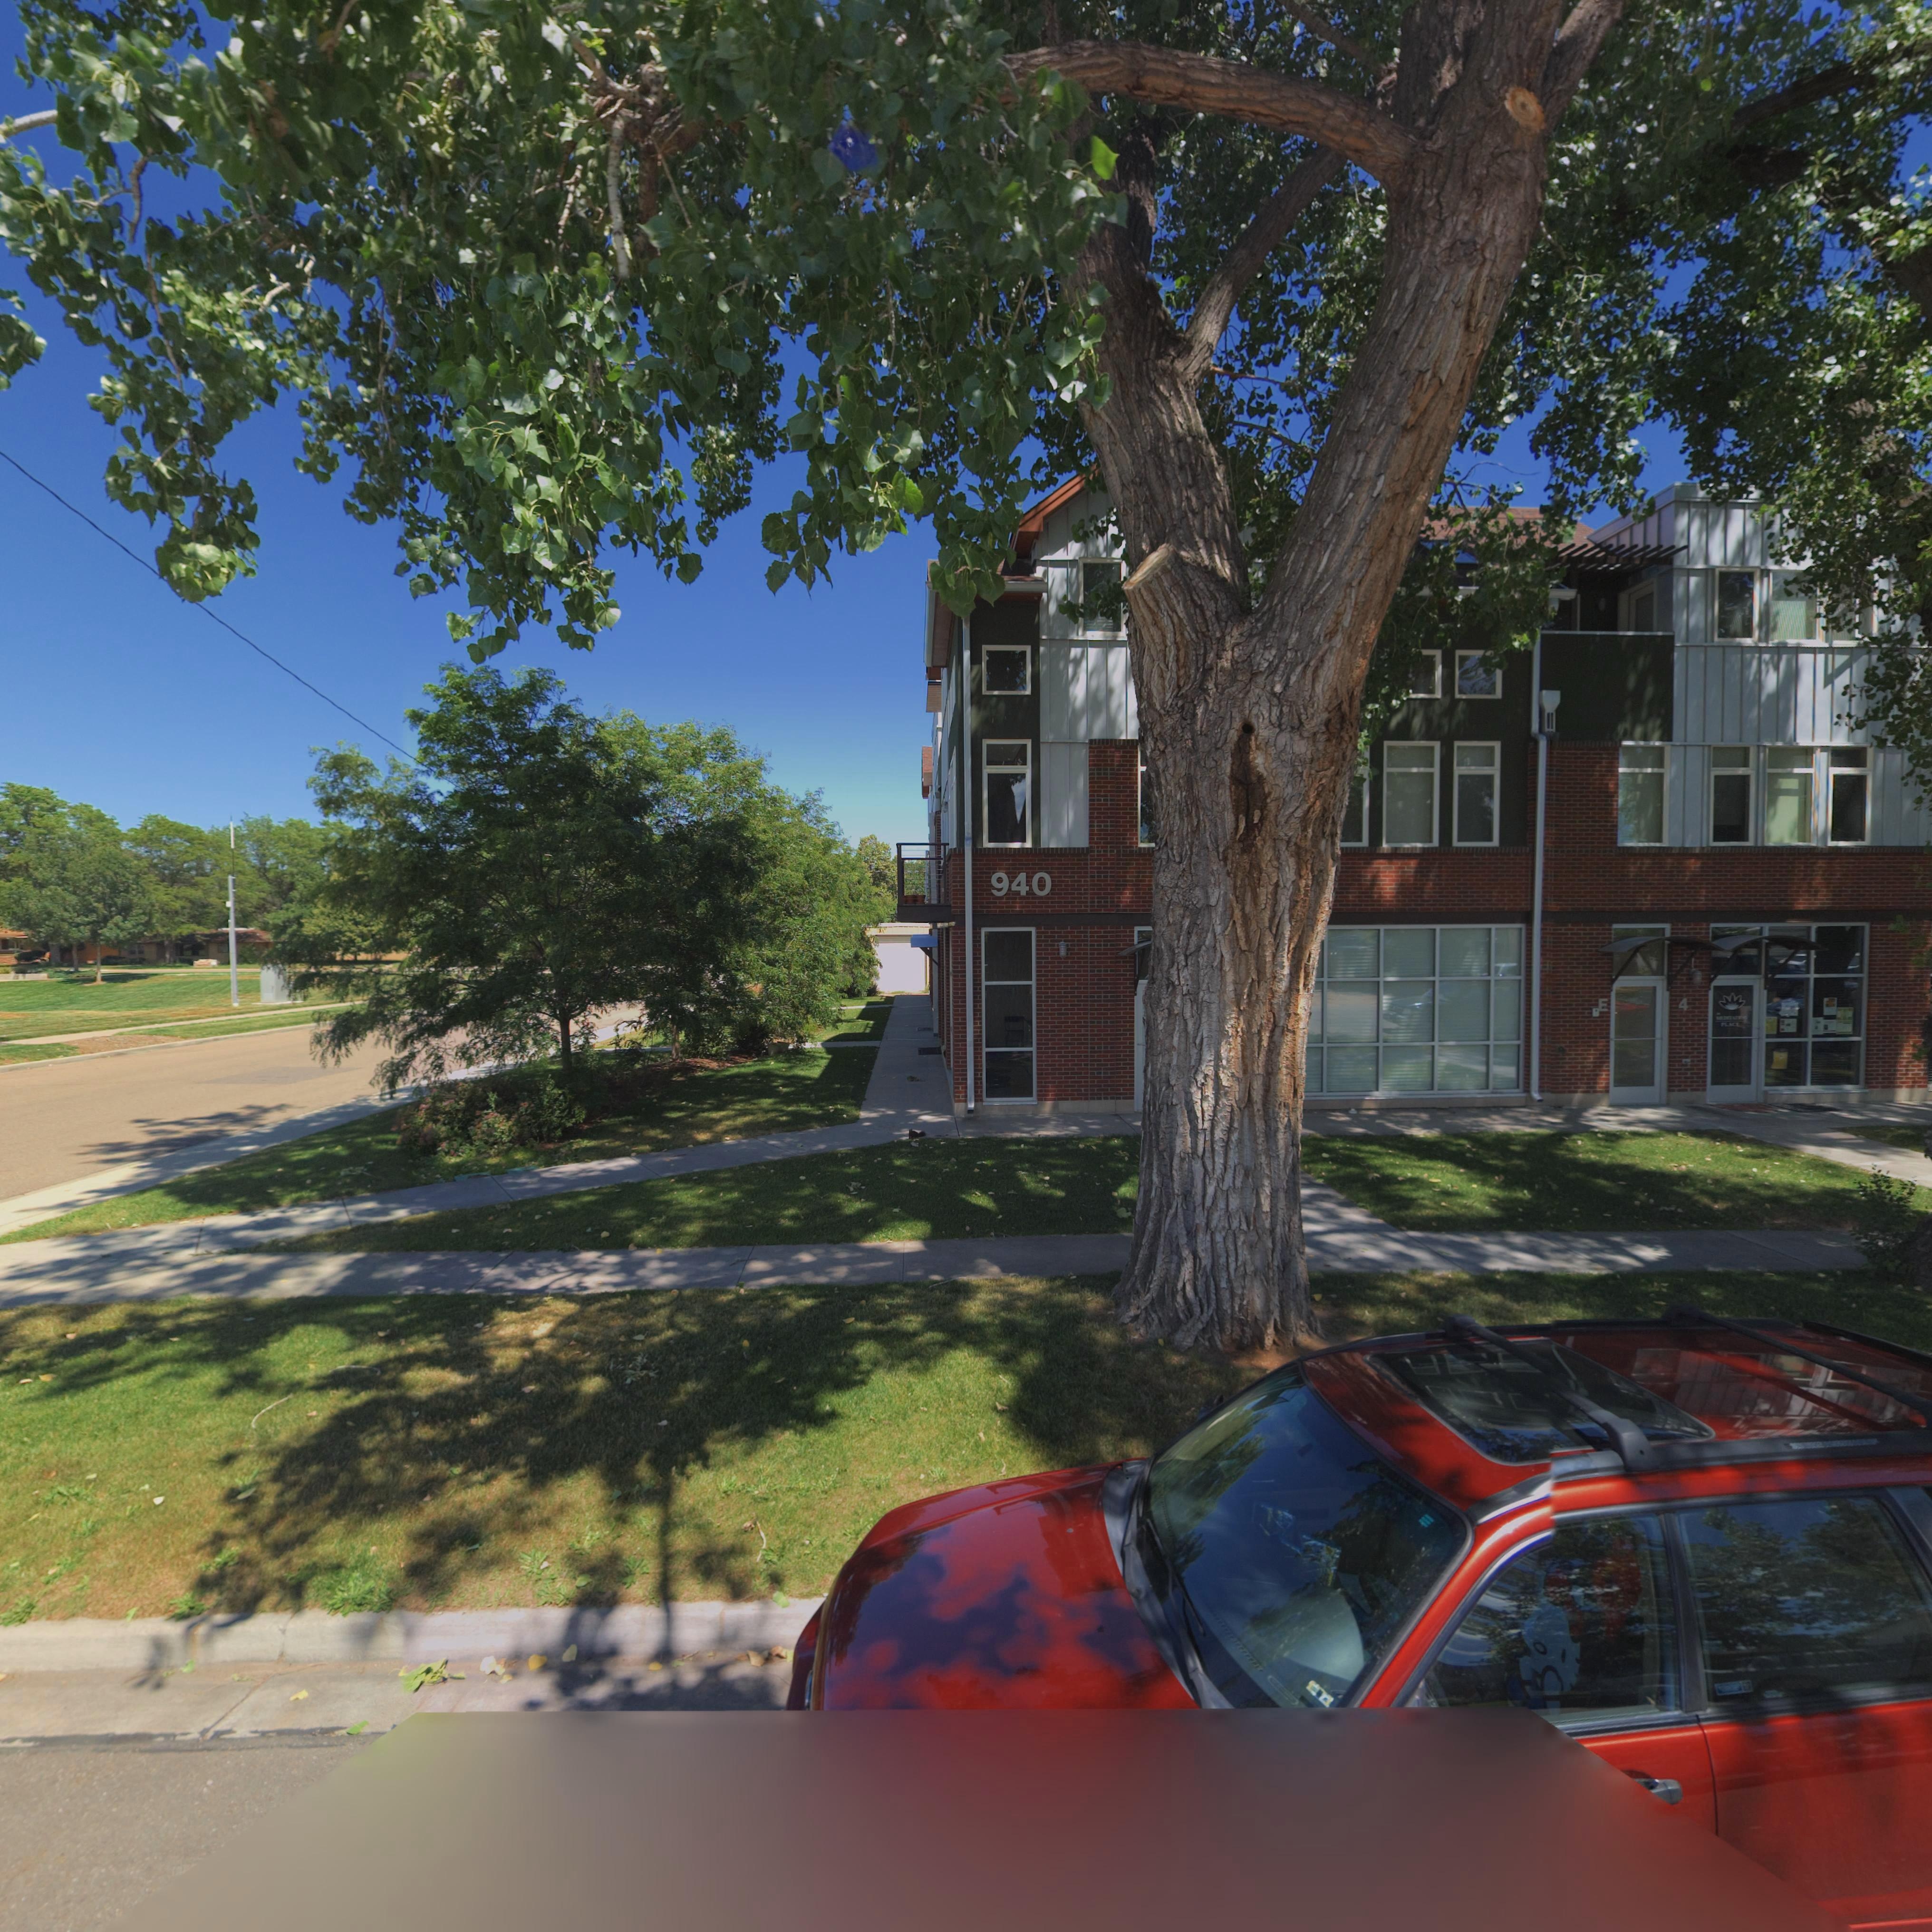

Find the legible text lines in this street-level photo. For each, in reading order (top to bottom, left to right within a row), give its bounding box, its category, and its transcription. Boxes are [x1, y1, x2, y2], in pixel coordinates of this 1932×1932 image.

[990, 871, 1052, 897] StreetNumber: 940
[1720, 1021, 1741, 1027] BusinessName: PLACE